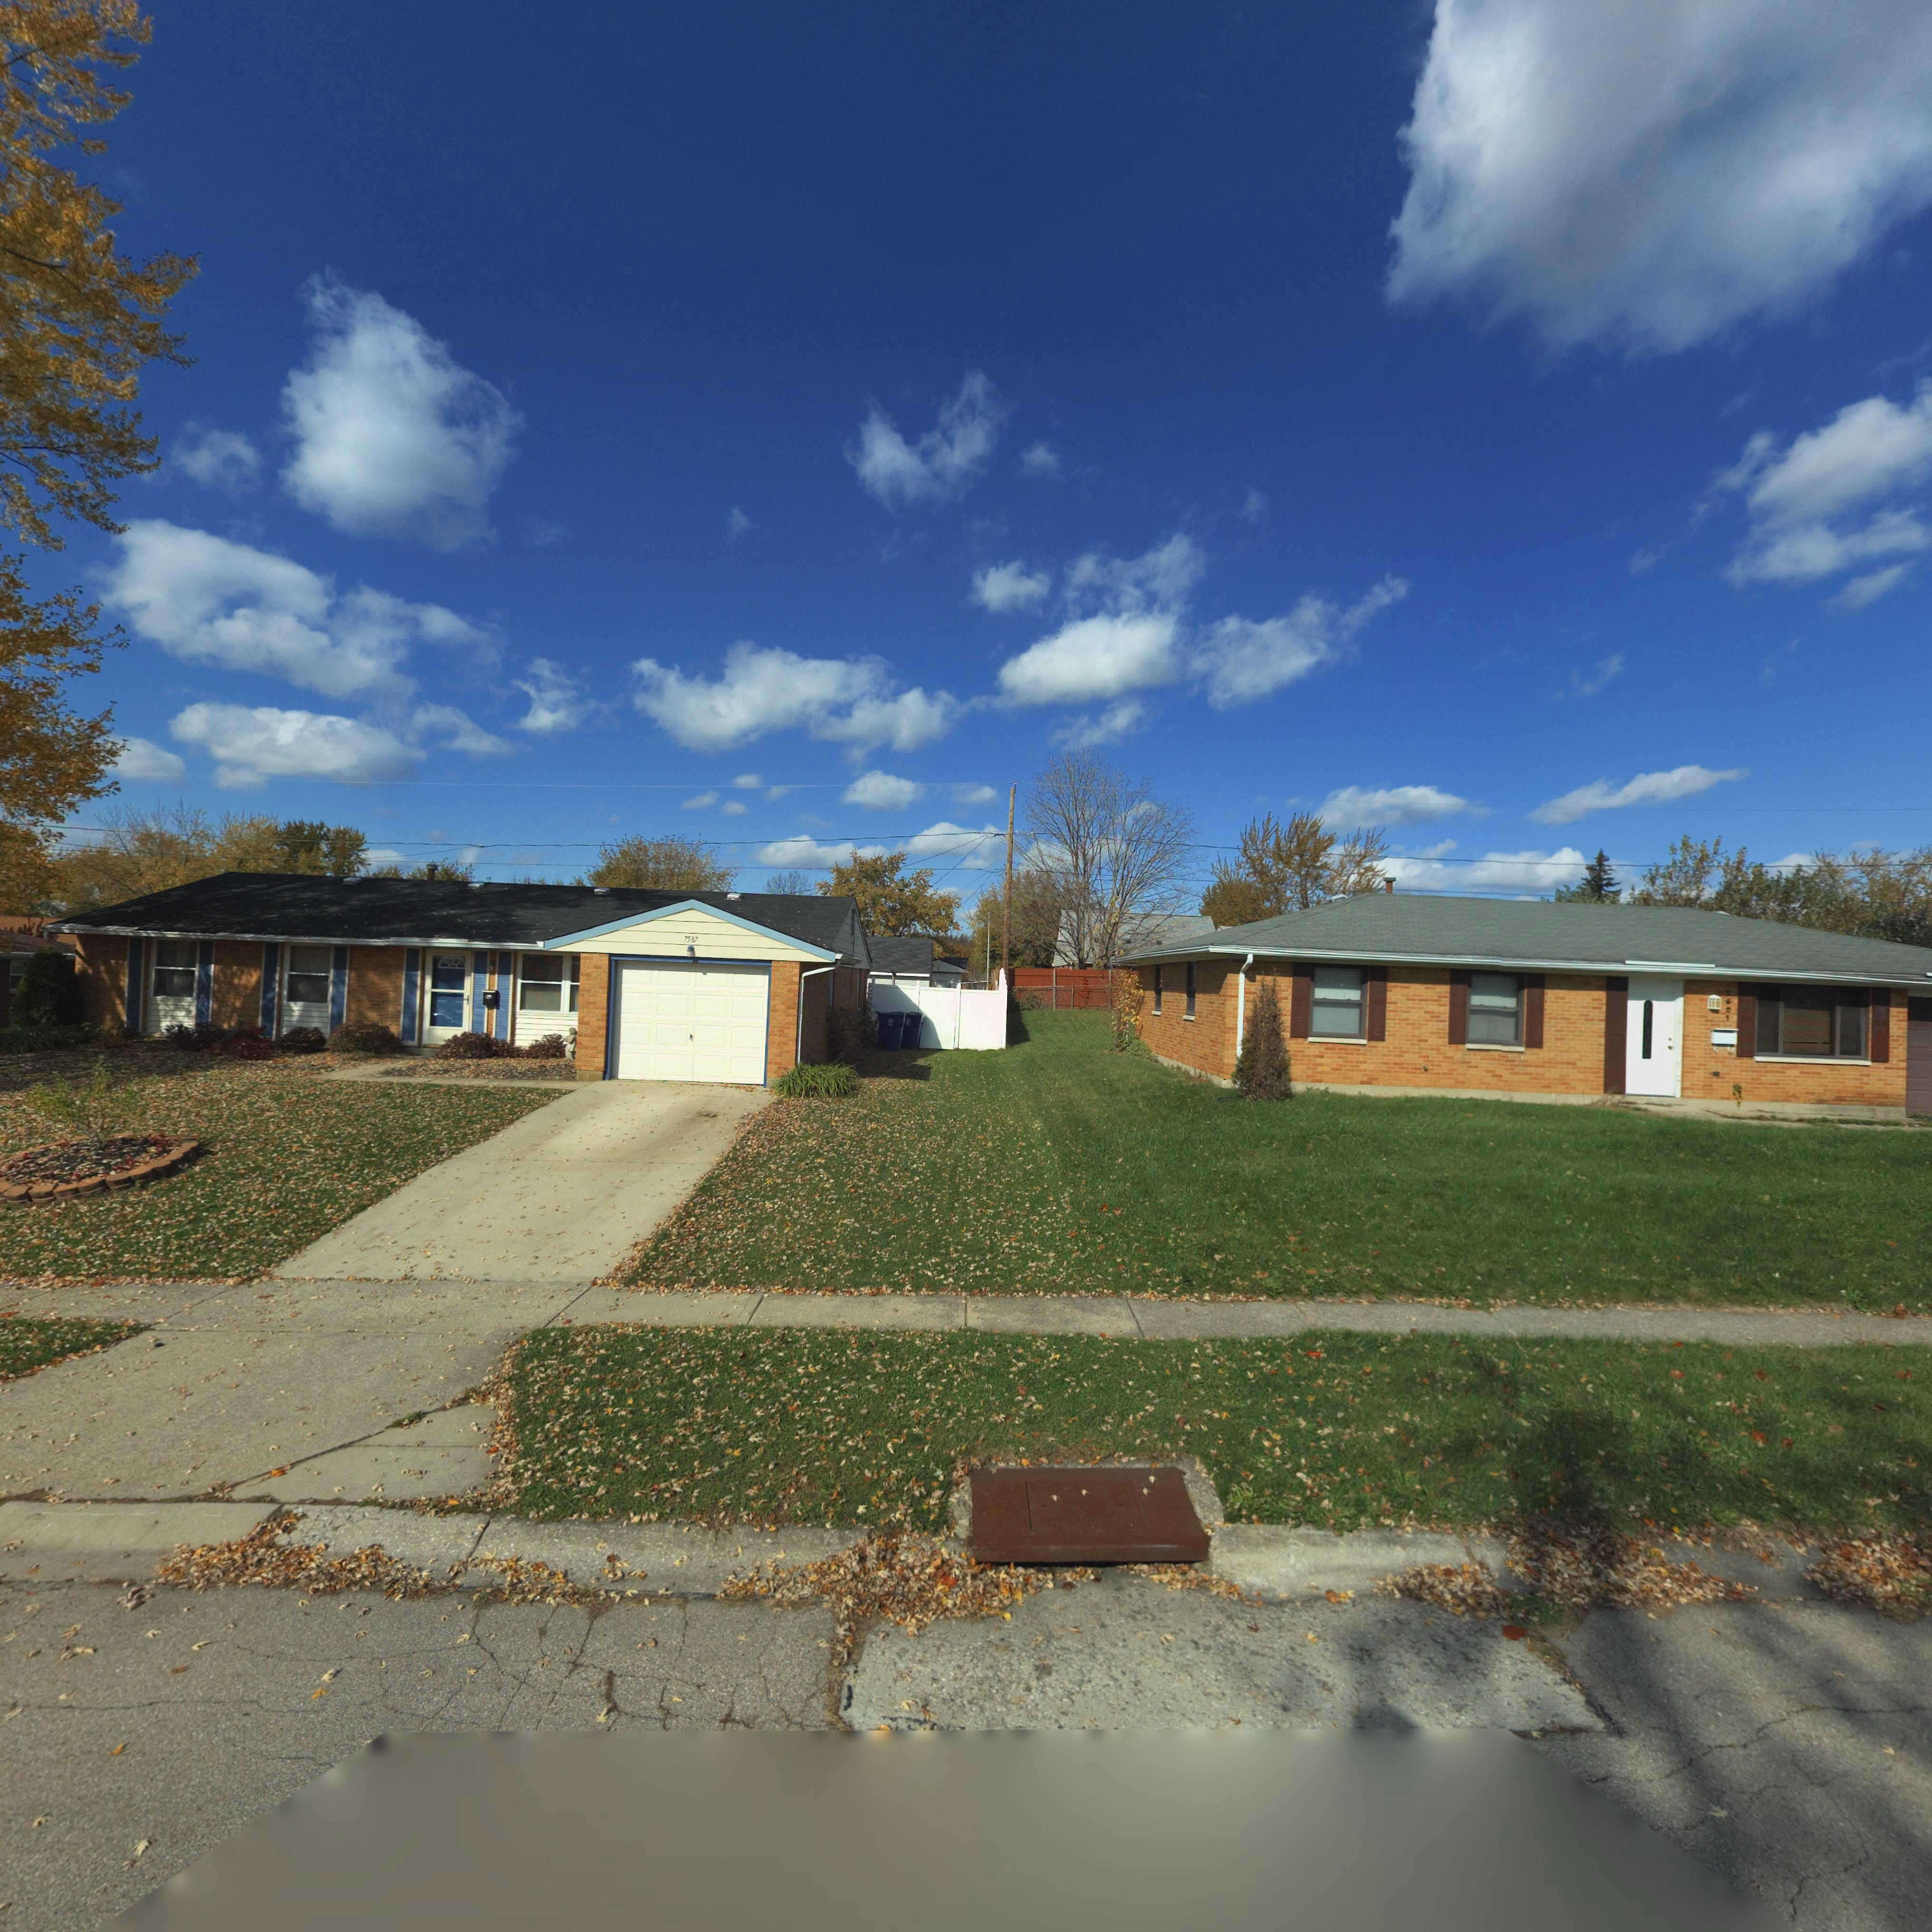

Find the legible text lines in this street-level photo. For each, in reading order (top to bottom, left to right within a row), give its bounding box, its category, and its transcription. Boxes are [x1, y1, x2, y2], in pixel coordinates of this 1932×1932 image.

[683, 936, 699, 944] StreetNumber: 7587
[1724, 989, 1731, 1022] StreetNumber: 7601